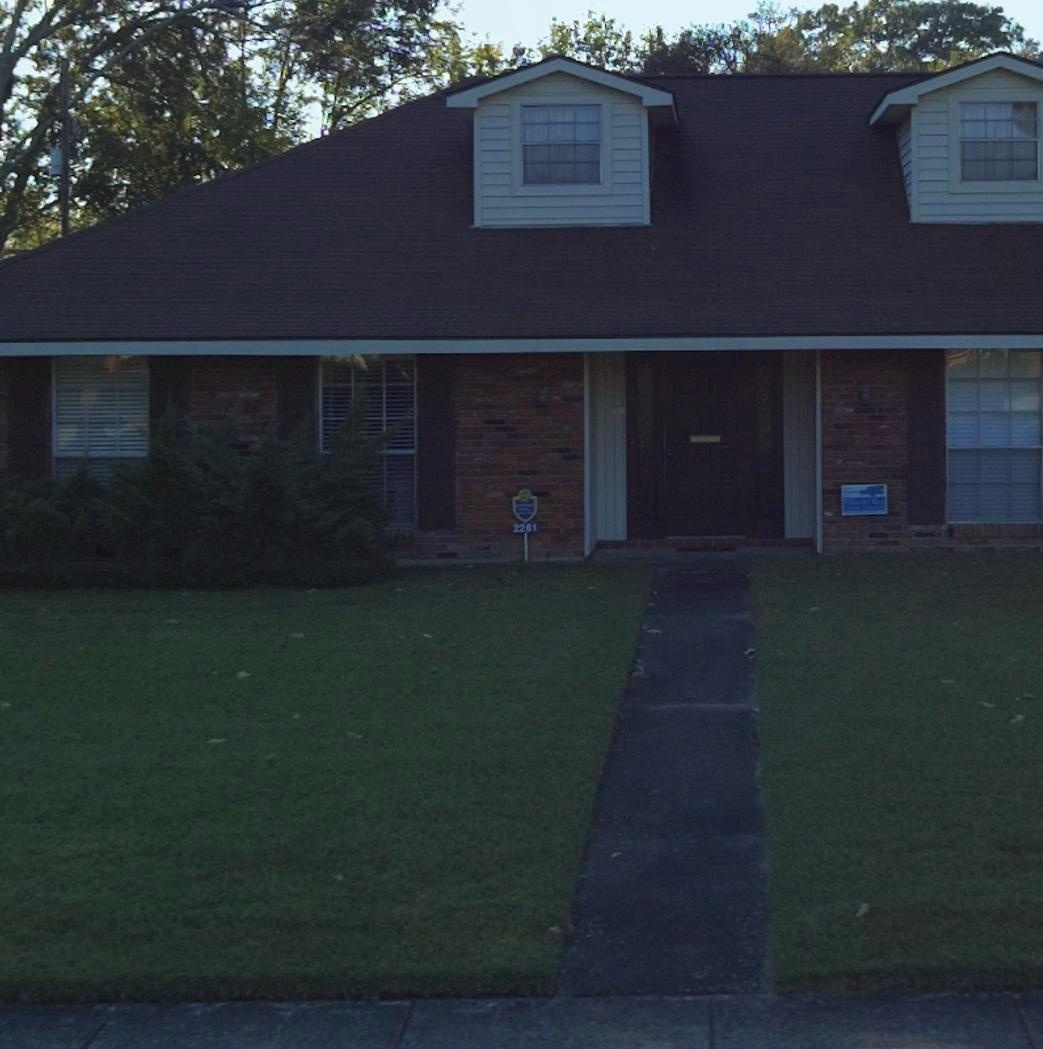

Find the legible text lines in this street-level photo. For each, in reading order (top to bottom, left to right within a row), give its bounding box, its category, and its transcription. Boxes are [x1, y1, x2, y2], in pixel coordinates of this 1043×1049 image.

[513, 523, 537, 533] StreetNumber: 2261